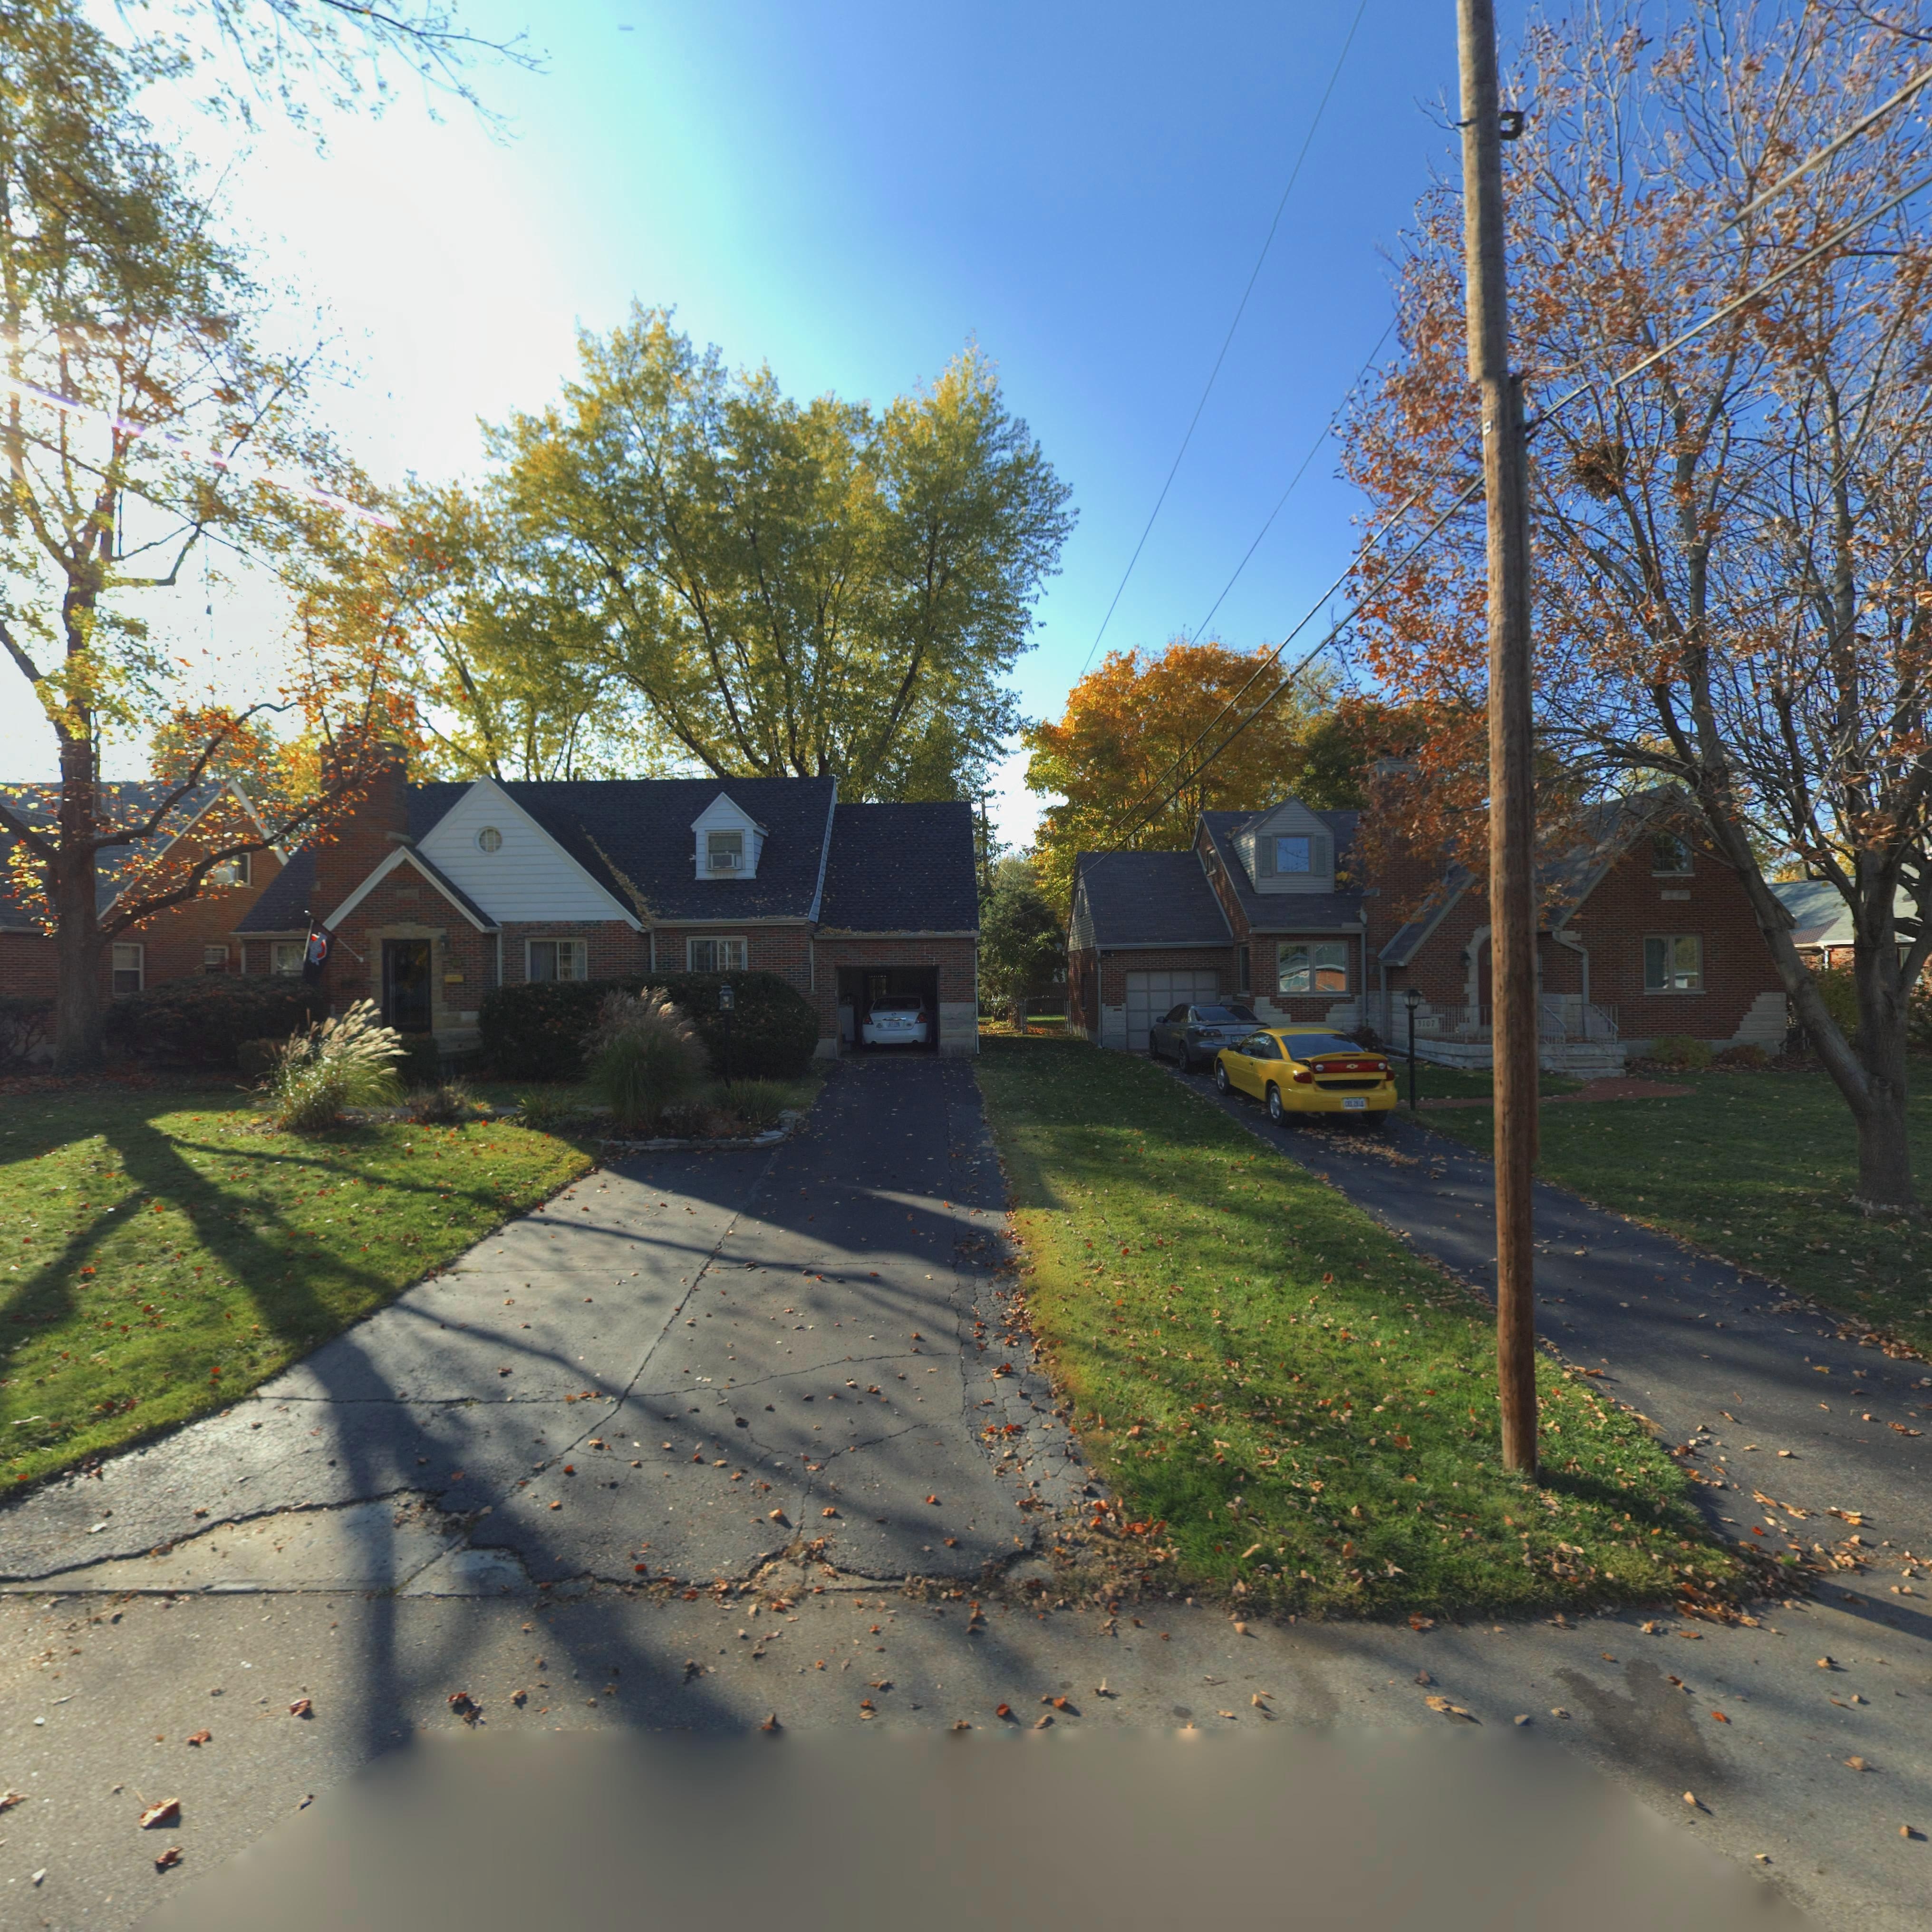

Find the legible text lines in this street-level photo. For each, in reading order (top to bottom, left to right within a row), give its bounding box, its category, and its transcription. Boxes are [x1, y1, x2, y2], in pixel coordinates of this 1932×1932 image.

[1418, 1019, 1436, 1028] StreetNumber: 3107